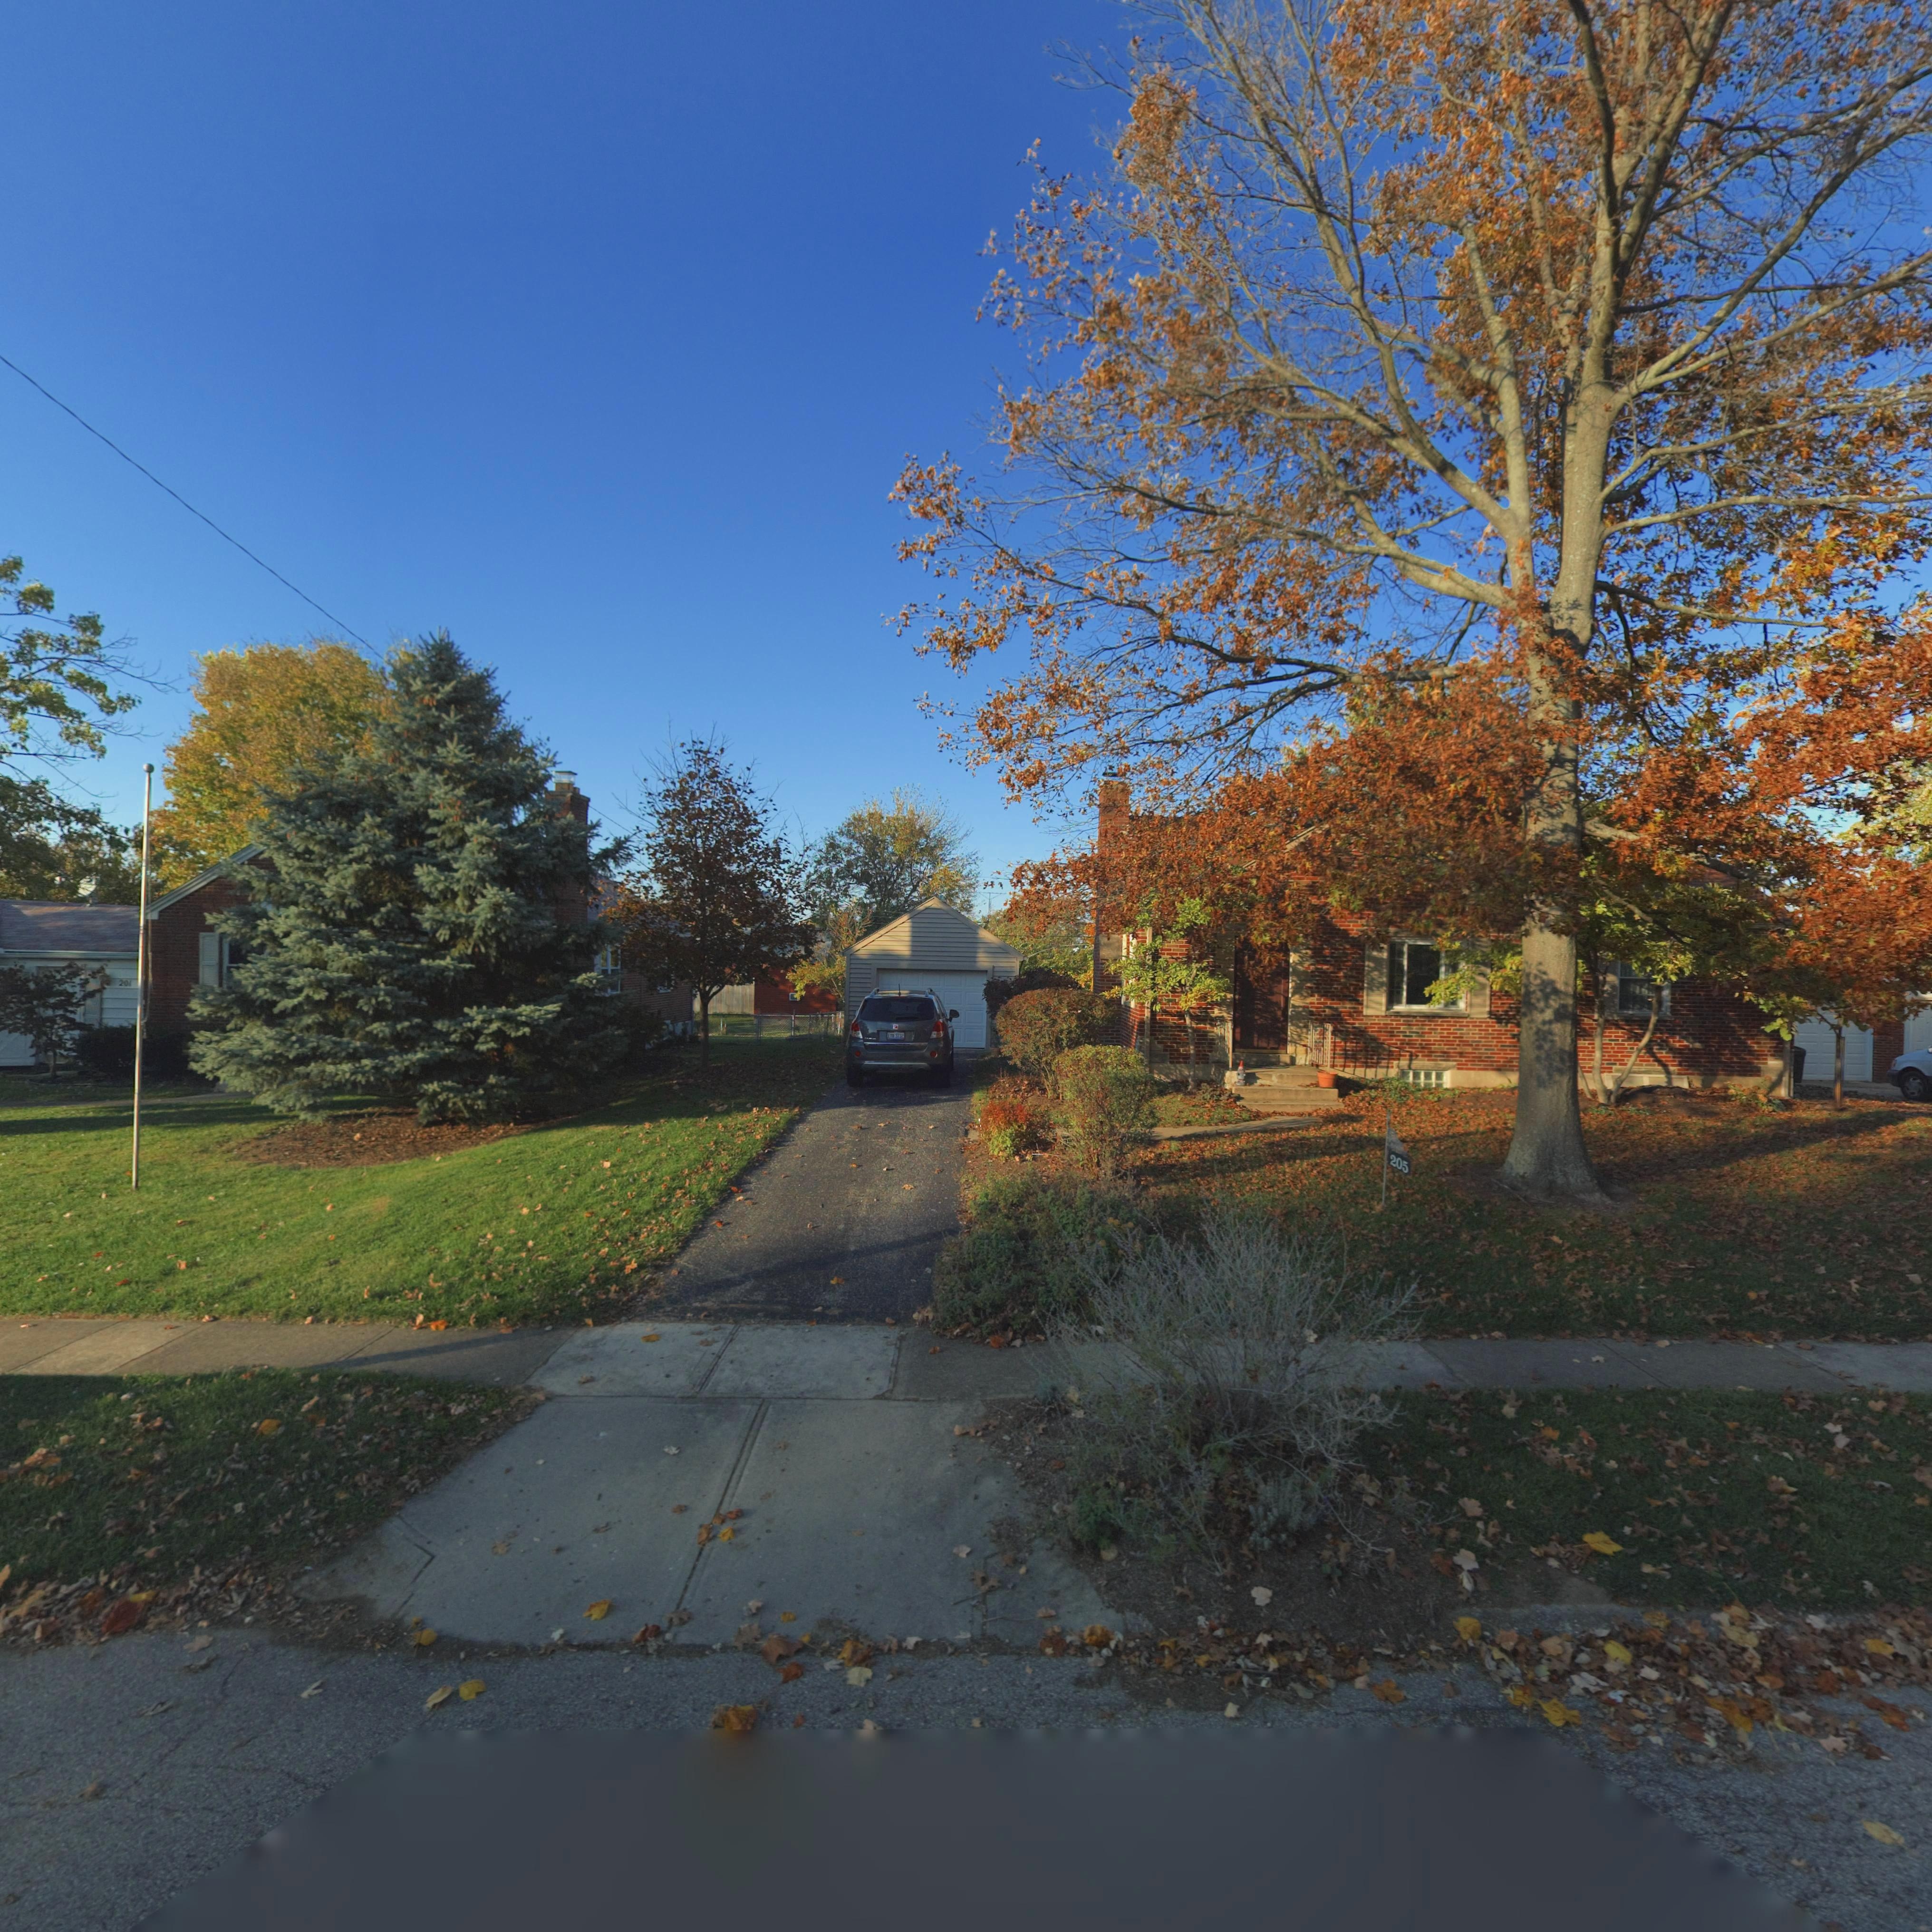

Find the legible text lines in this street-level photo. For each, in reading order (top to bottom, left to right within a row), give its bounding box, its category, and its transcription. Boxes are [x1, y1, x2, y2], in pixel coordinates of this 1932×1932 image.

[1389, 1153, 1409, 1175] StreetNumber: 205